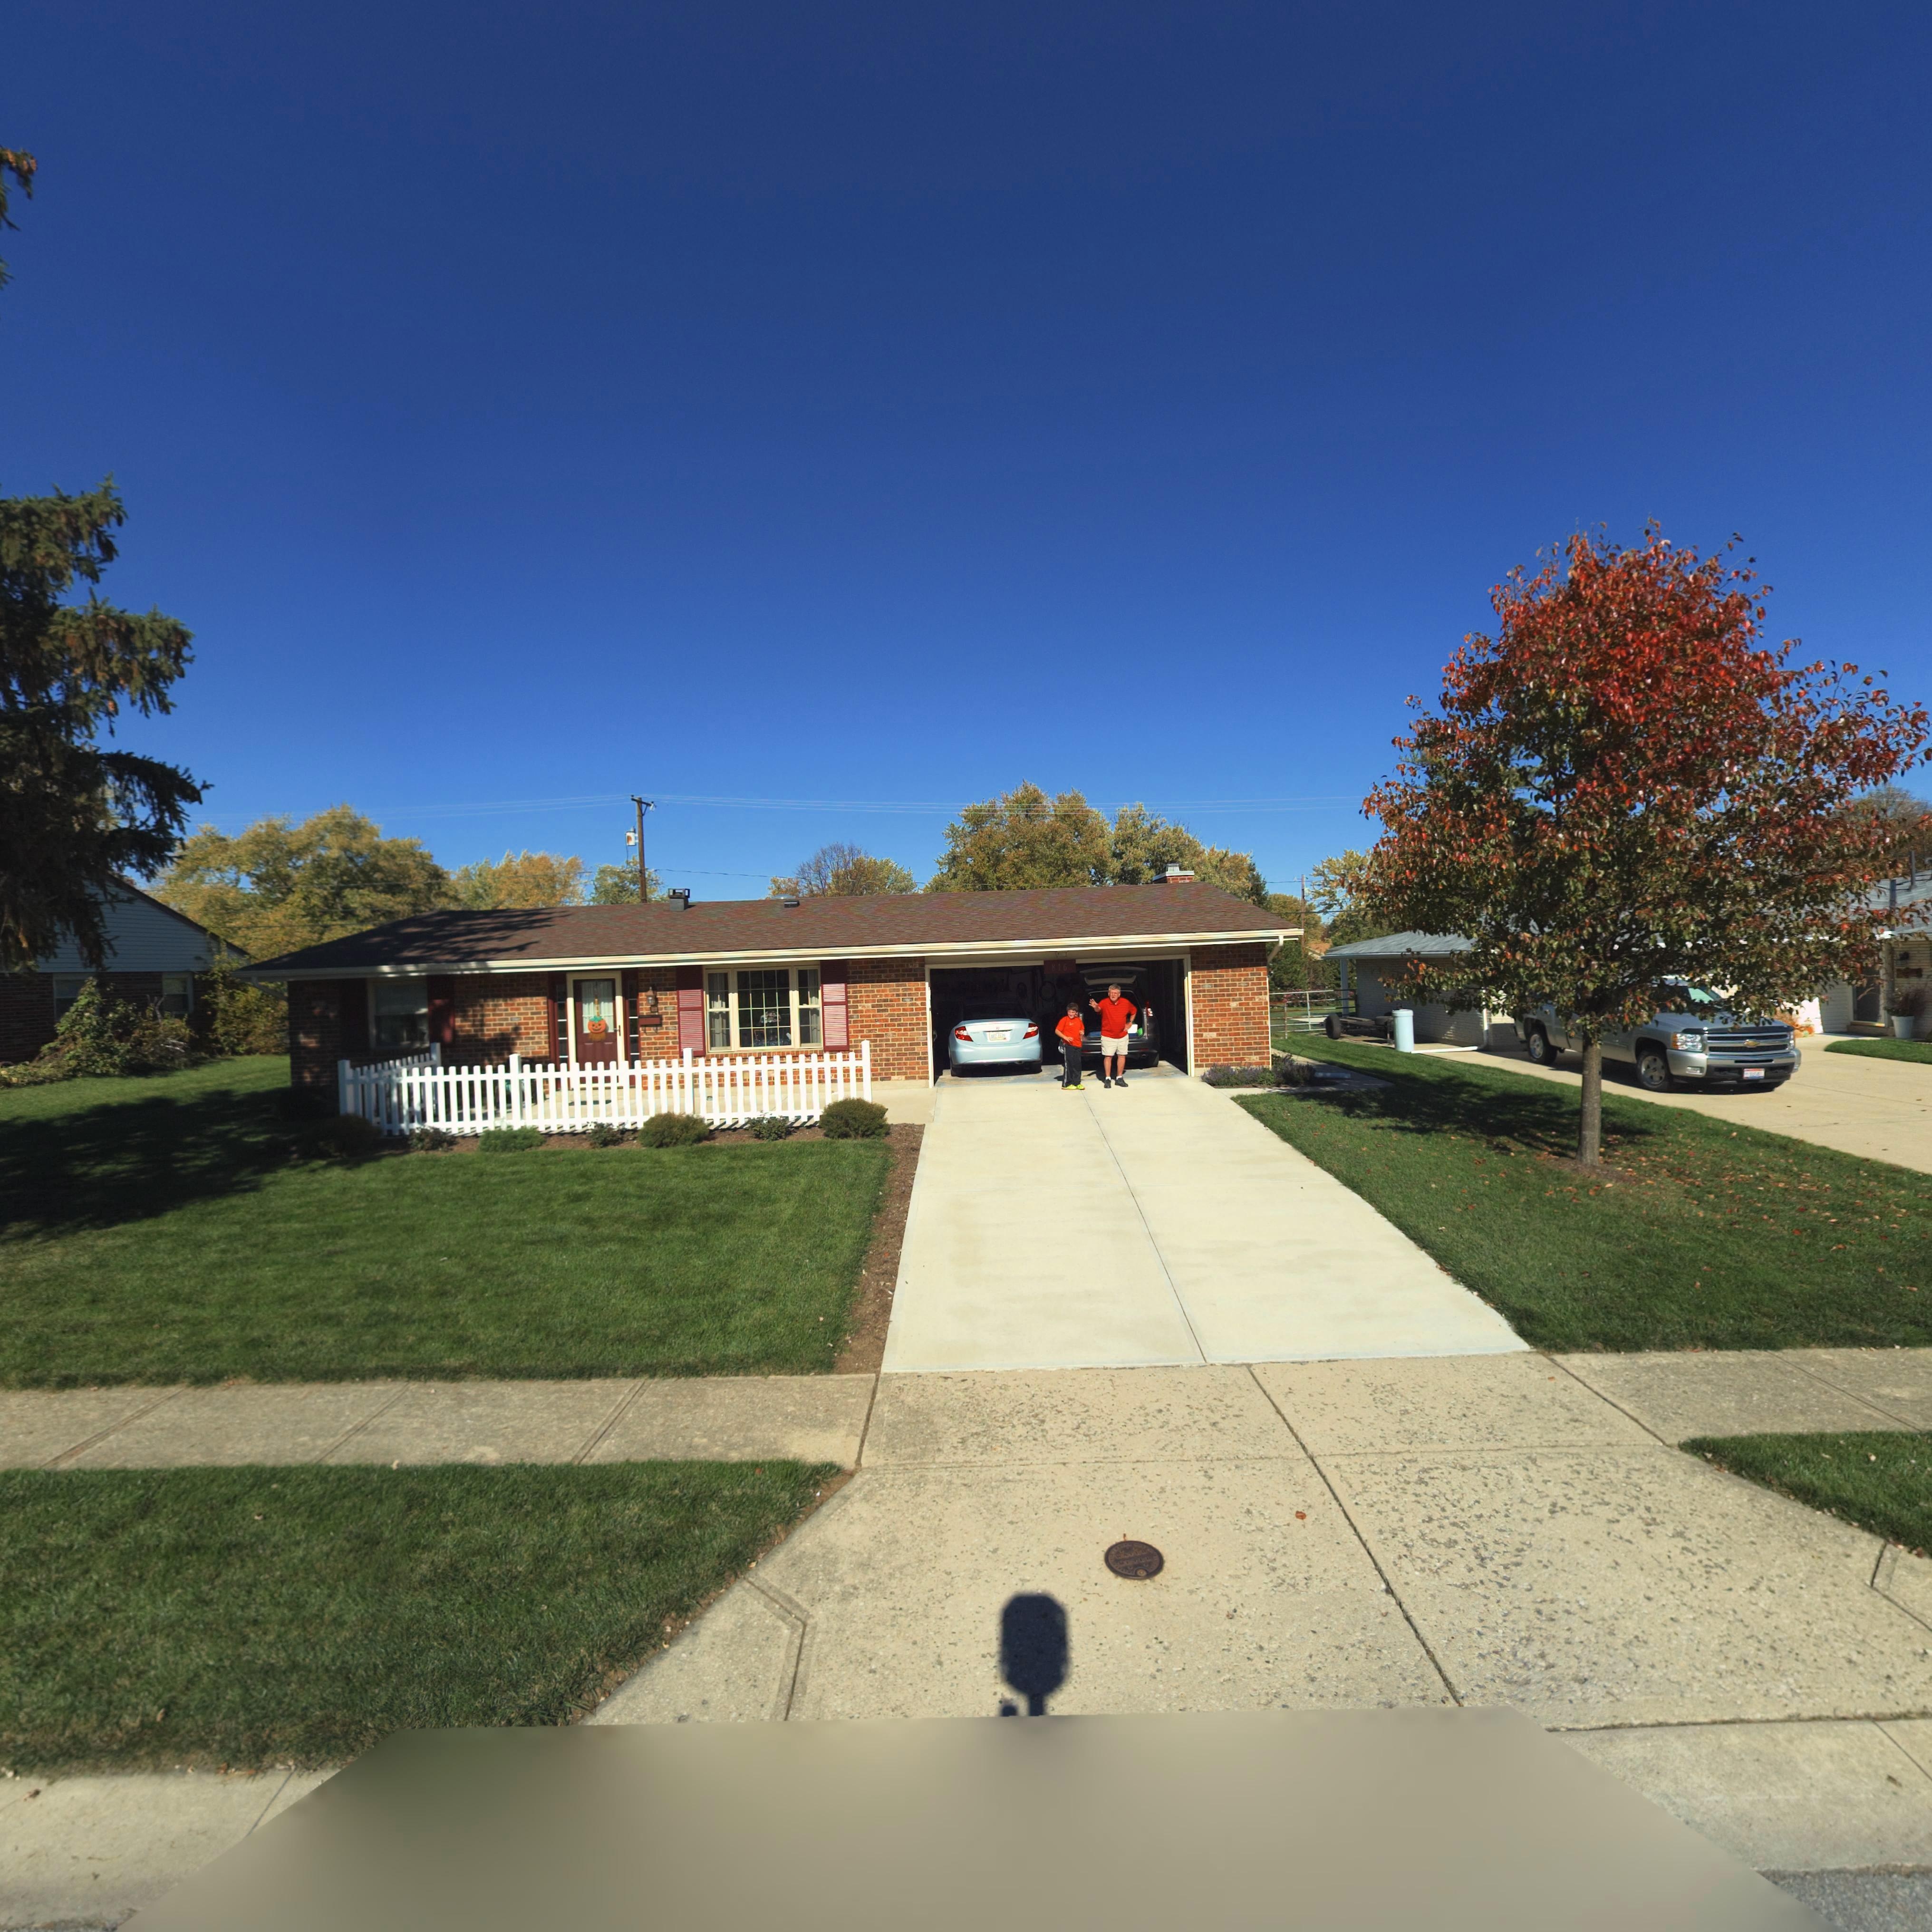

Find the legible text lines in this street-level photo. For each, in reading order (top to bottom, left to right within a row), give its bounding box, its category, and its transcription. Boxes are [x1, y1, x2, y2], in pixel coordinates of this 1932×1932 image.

[1051, 963, 1067, 972] StreetNumber: 816